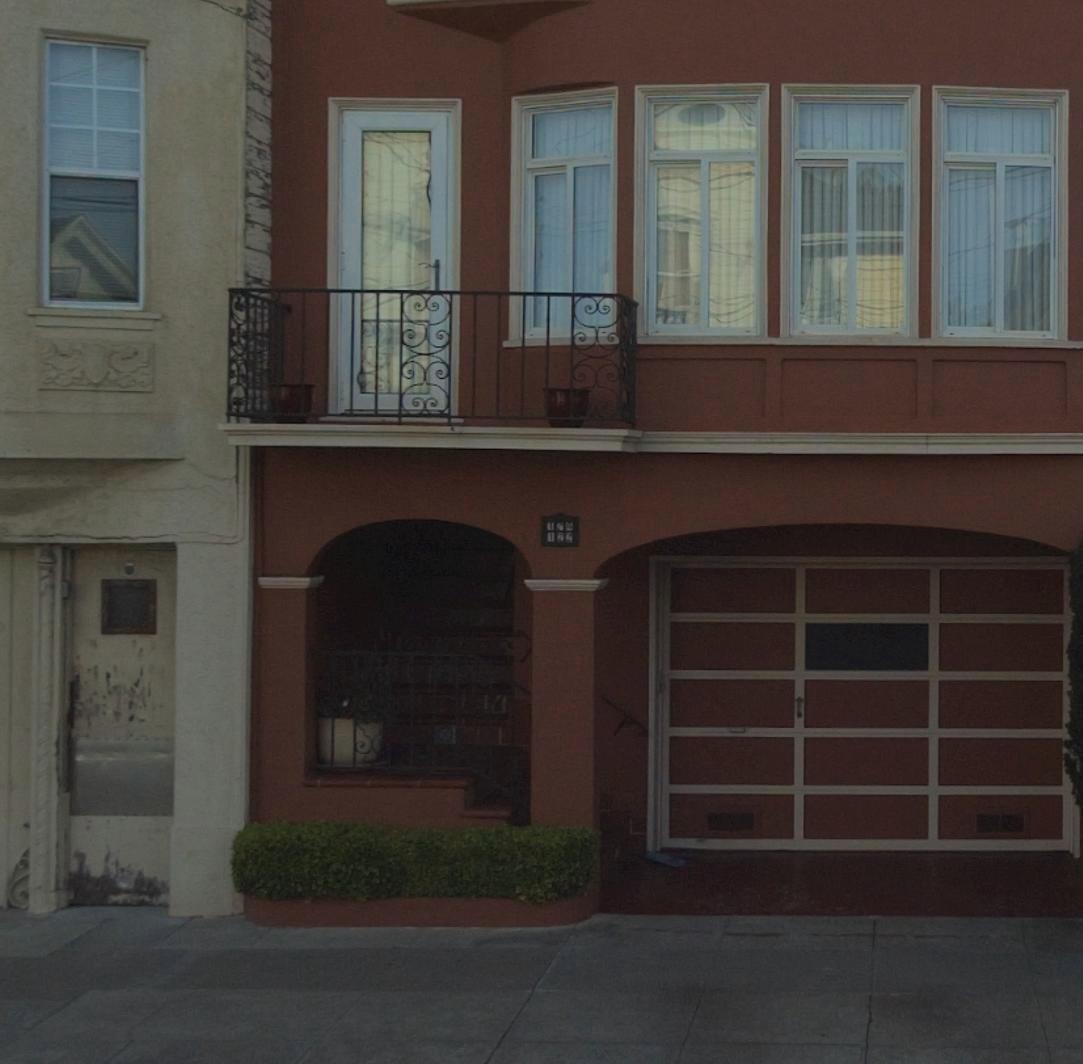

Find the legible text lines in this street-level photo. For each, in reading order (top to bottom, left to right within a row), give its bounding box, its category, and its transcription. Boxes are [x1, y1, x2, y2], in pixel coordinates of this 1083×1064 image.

[548, 520, 575, 533] StreetNumber: 1**
[547, 531, 575, 545] StreetNumber: 1**